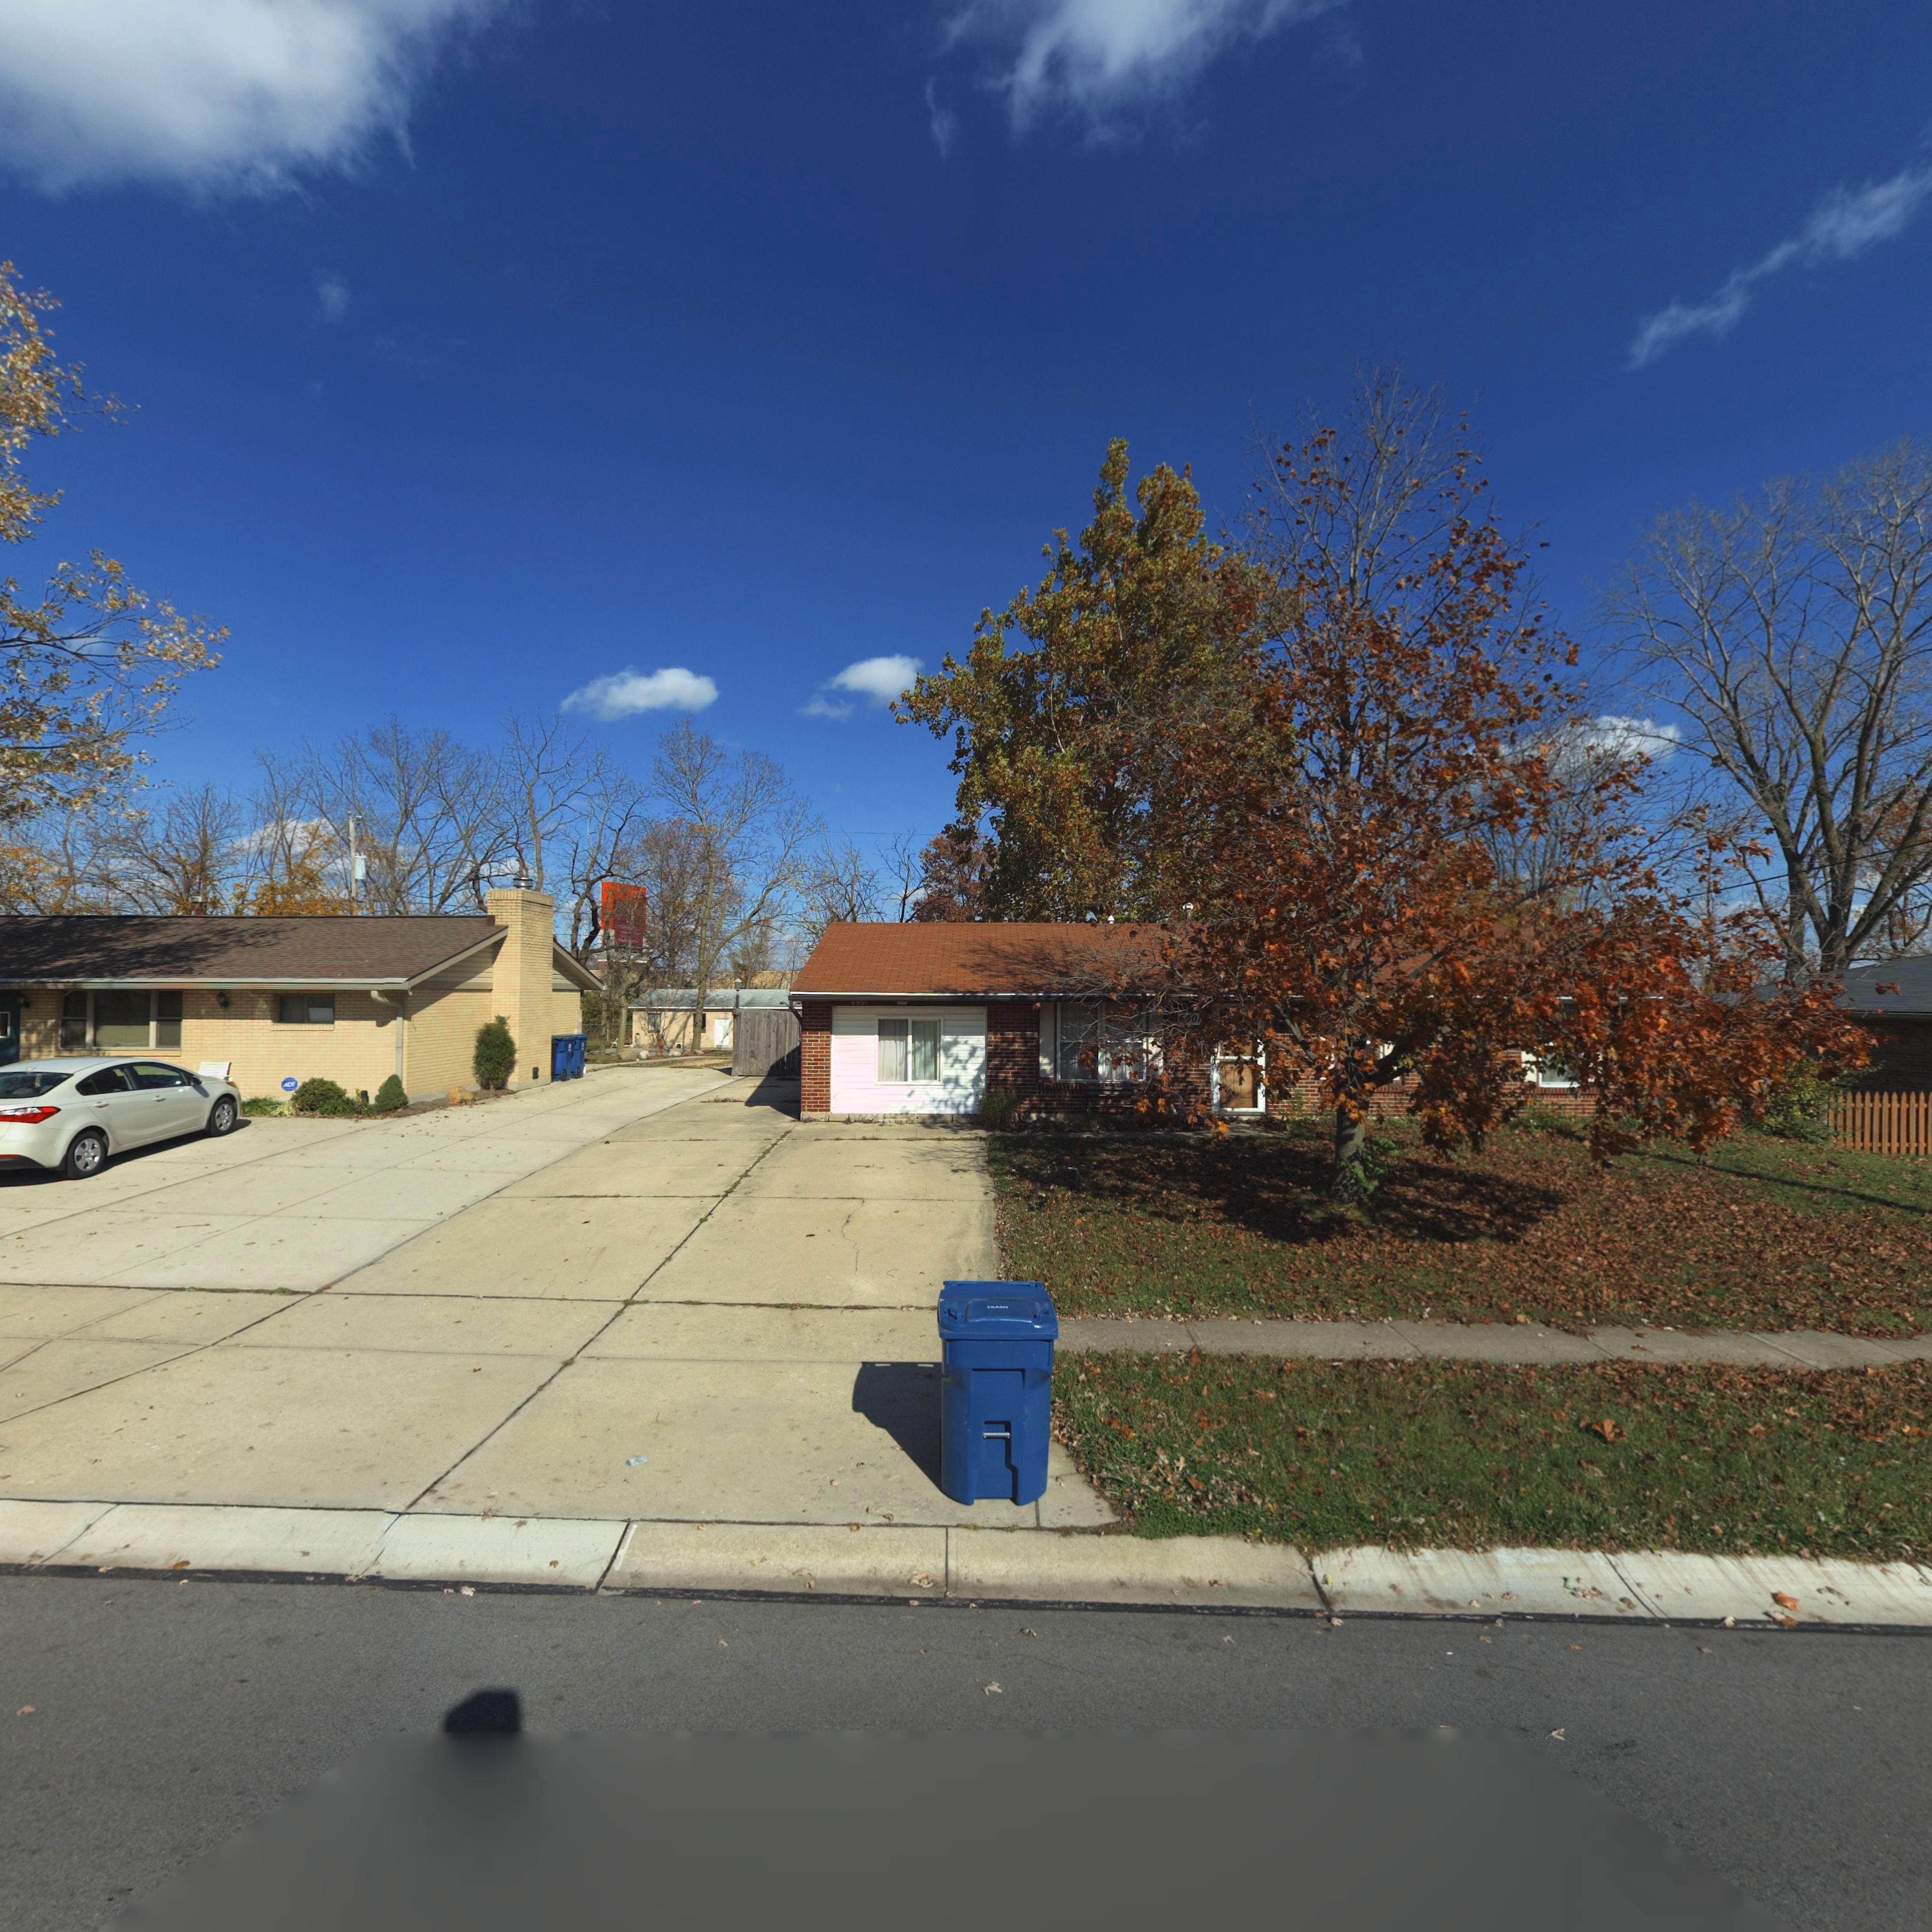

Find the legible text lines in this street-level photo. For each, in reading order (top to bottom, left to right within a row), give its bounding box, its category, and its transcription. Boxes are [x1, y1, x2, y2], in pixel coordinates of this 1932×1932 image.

[1190, 1014, 1198, 1024] StreetNumber: 0